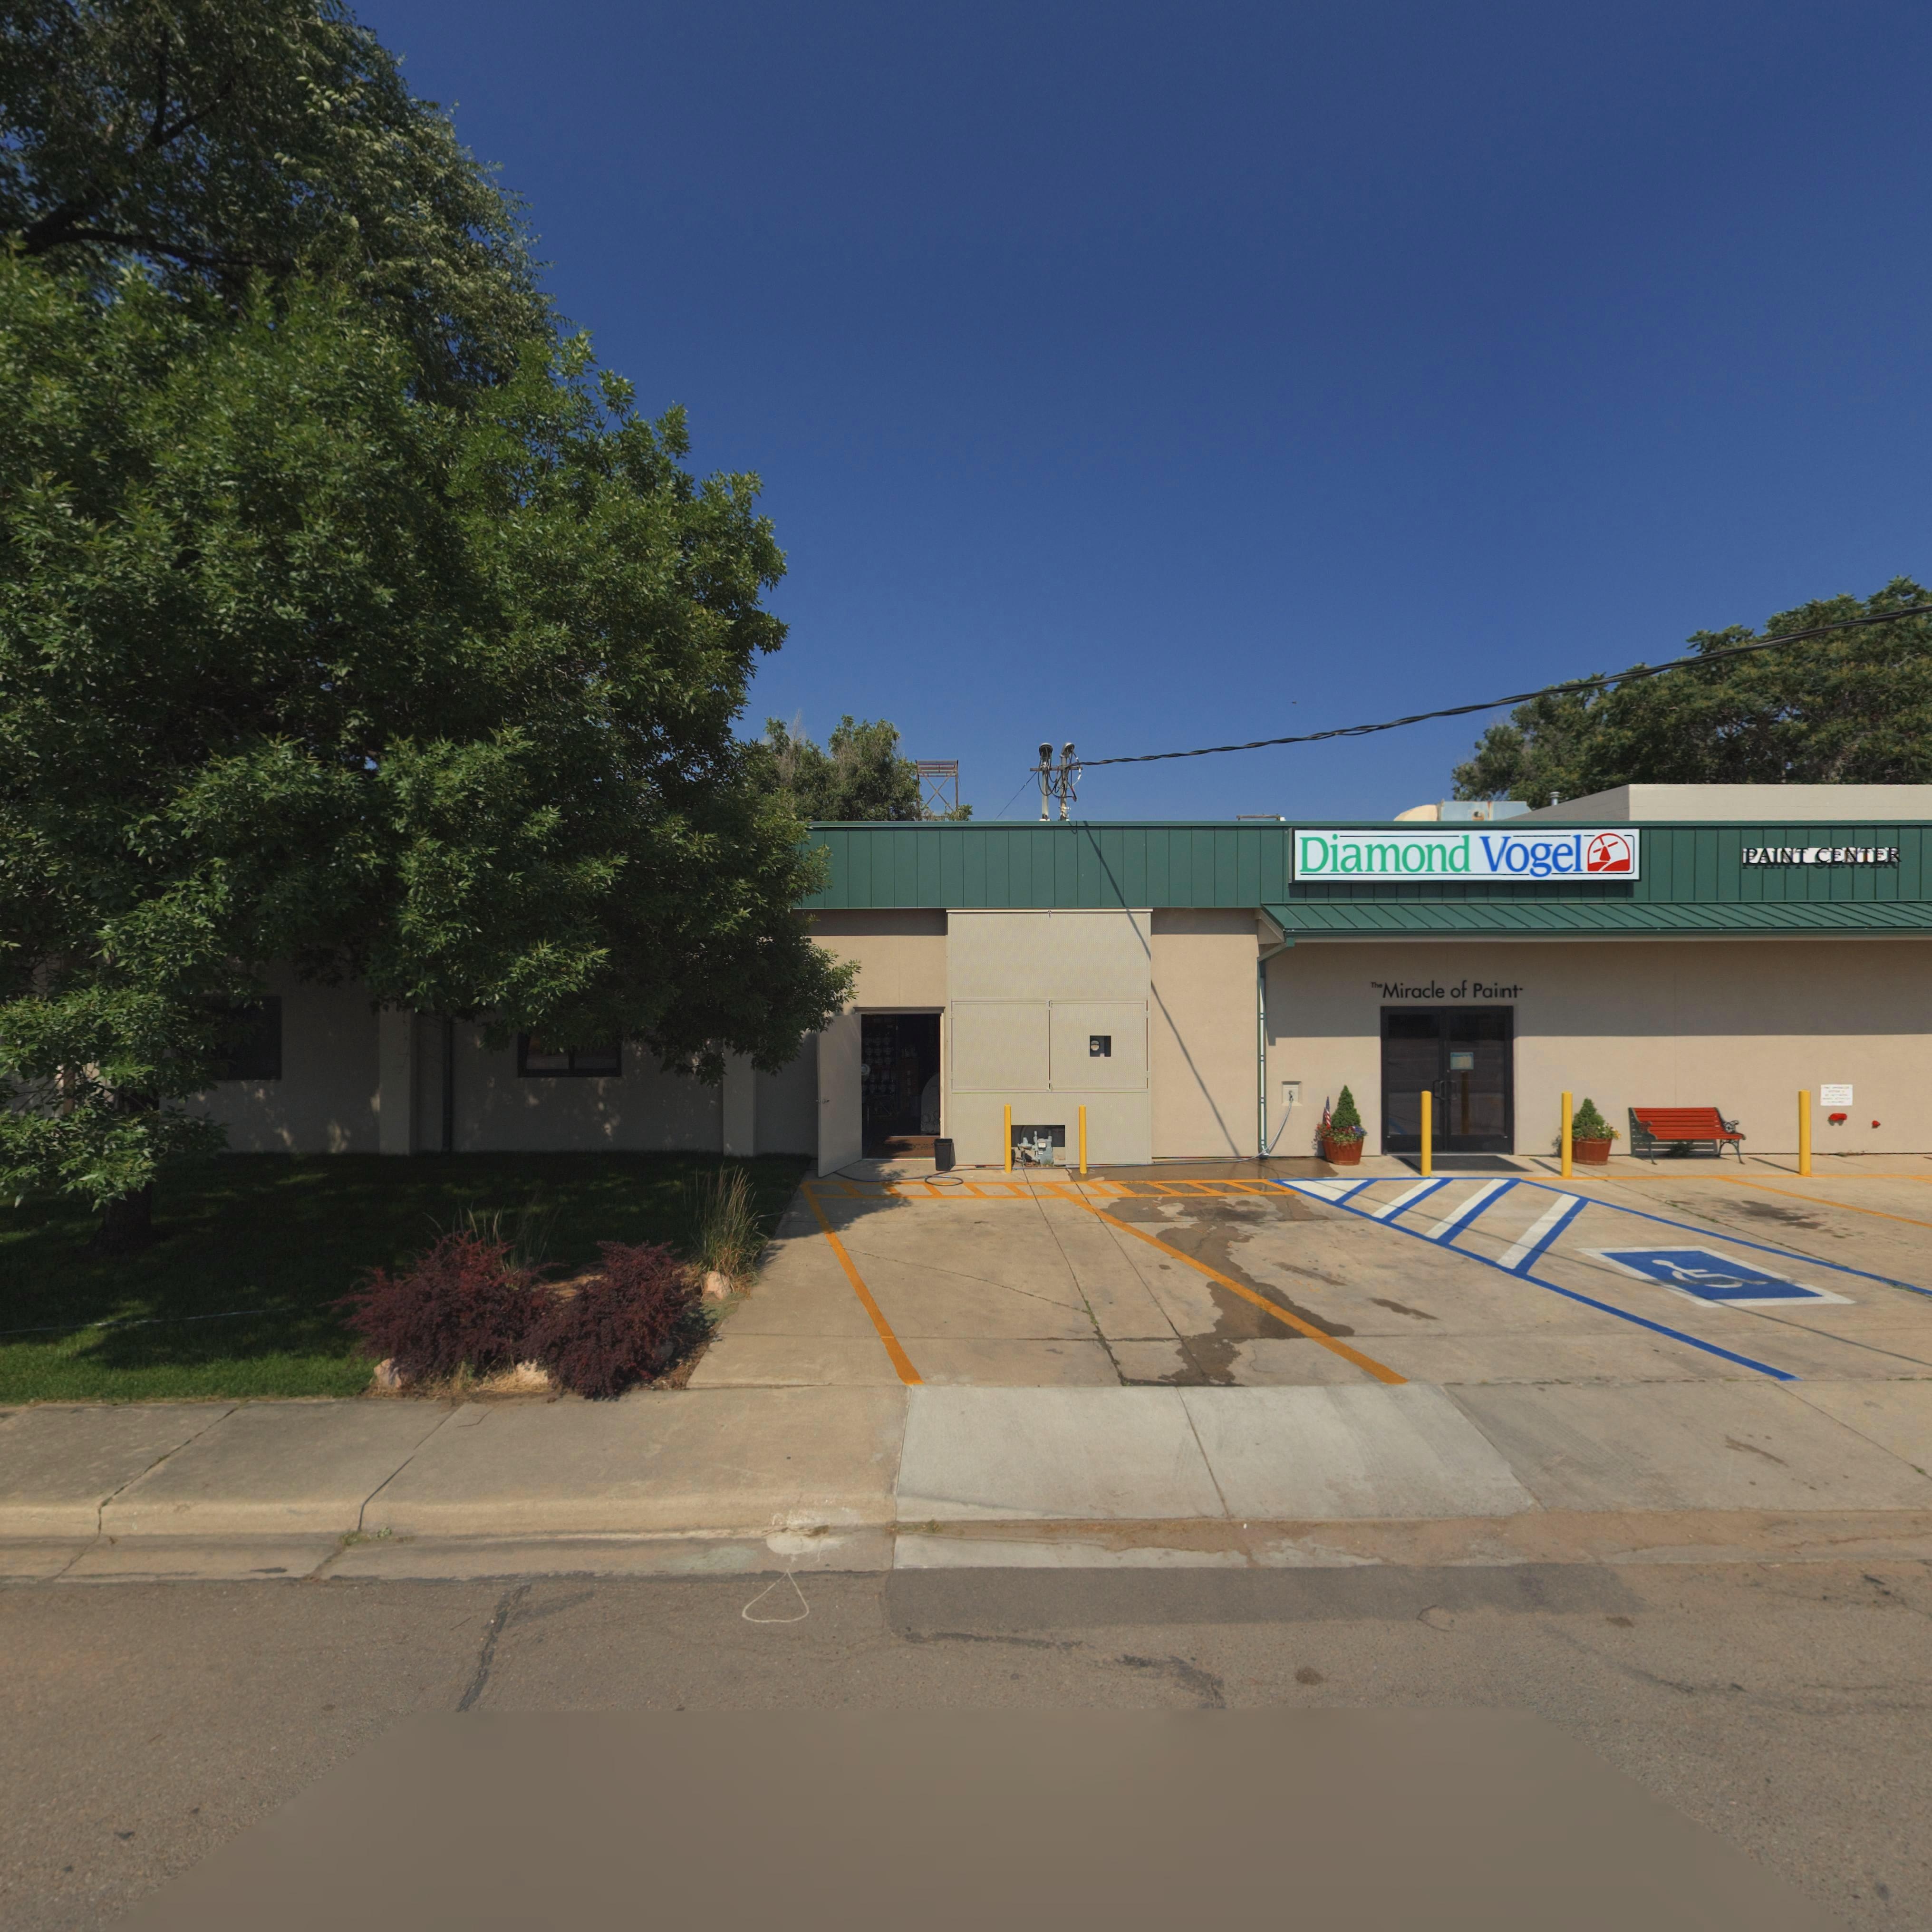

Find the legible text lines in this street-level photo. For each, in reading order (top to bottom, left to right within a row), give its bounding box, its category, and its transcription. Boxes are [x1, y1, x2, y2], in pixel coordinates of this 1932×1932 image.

[1299, 831, 1584, 878] BusinessName: Diamond Vogel
[1369, 981, 1382, 988] BusinessName: The
[1381, 978, 1522, 999] BusinessName: Miracle of Pai*nt